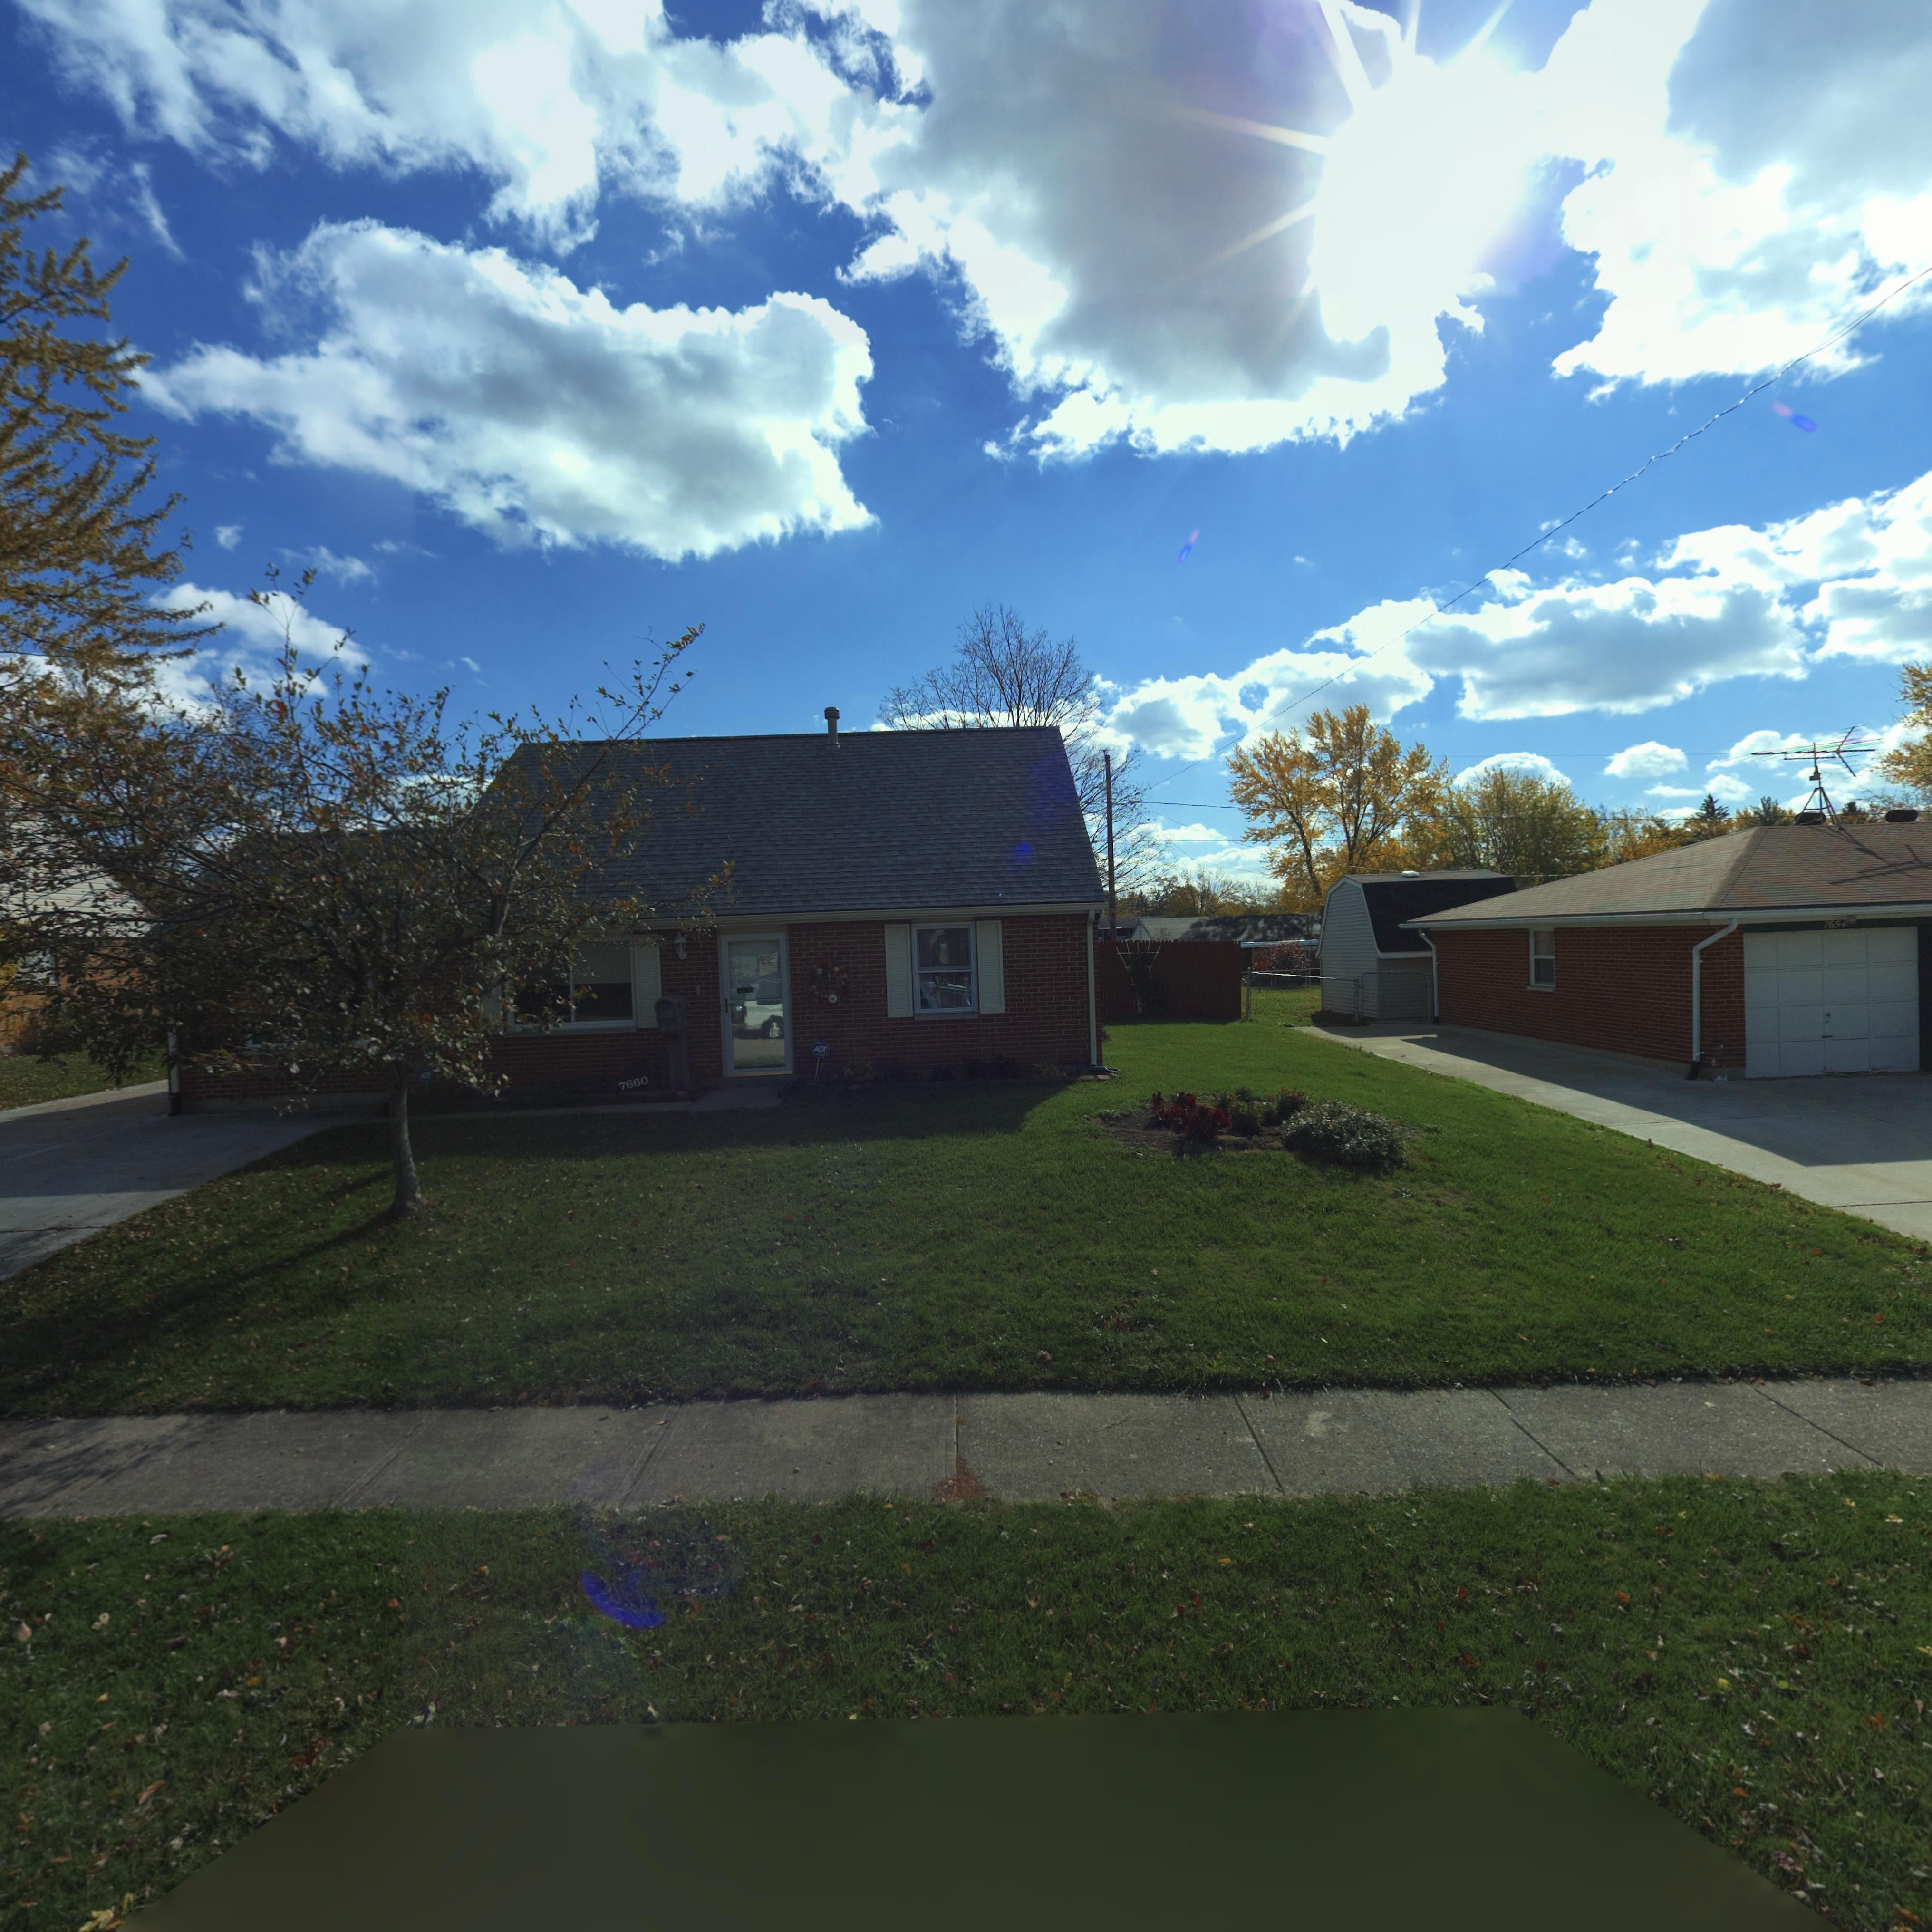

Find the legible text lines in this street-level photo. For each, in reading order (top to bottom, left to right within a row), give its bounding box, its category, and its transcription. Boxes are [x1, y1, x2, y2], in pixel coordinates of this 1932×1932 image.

[1823, 919, 1847, 929] StreetNumber: 7654
[618, 1076, 649, 1091] StreetNumber: 7660